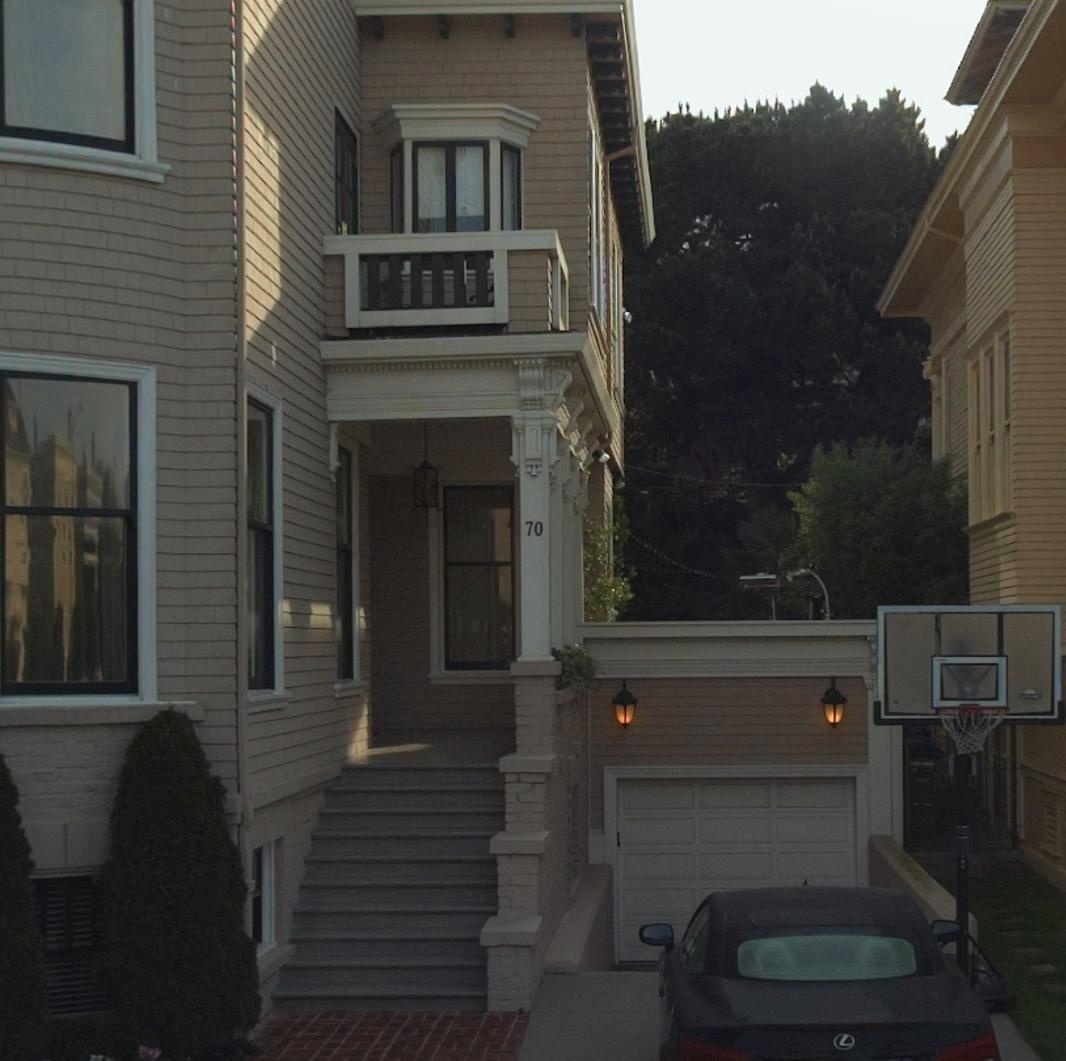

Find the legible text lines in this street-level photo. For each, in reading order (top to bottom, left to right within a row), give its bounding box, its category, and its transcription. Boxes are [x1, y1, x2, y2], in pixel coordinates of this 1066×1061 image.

[523, 519, 545, 538] StreetNumber: 70